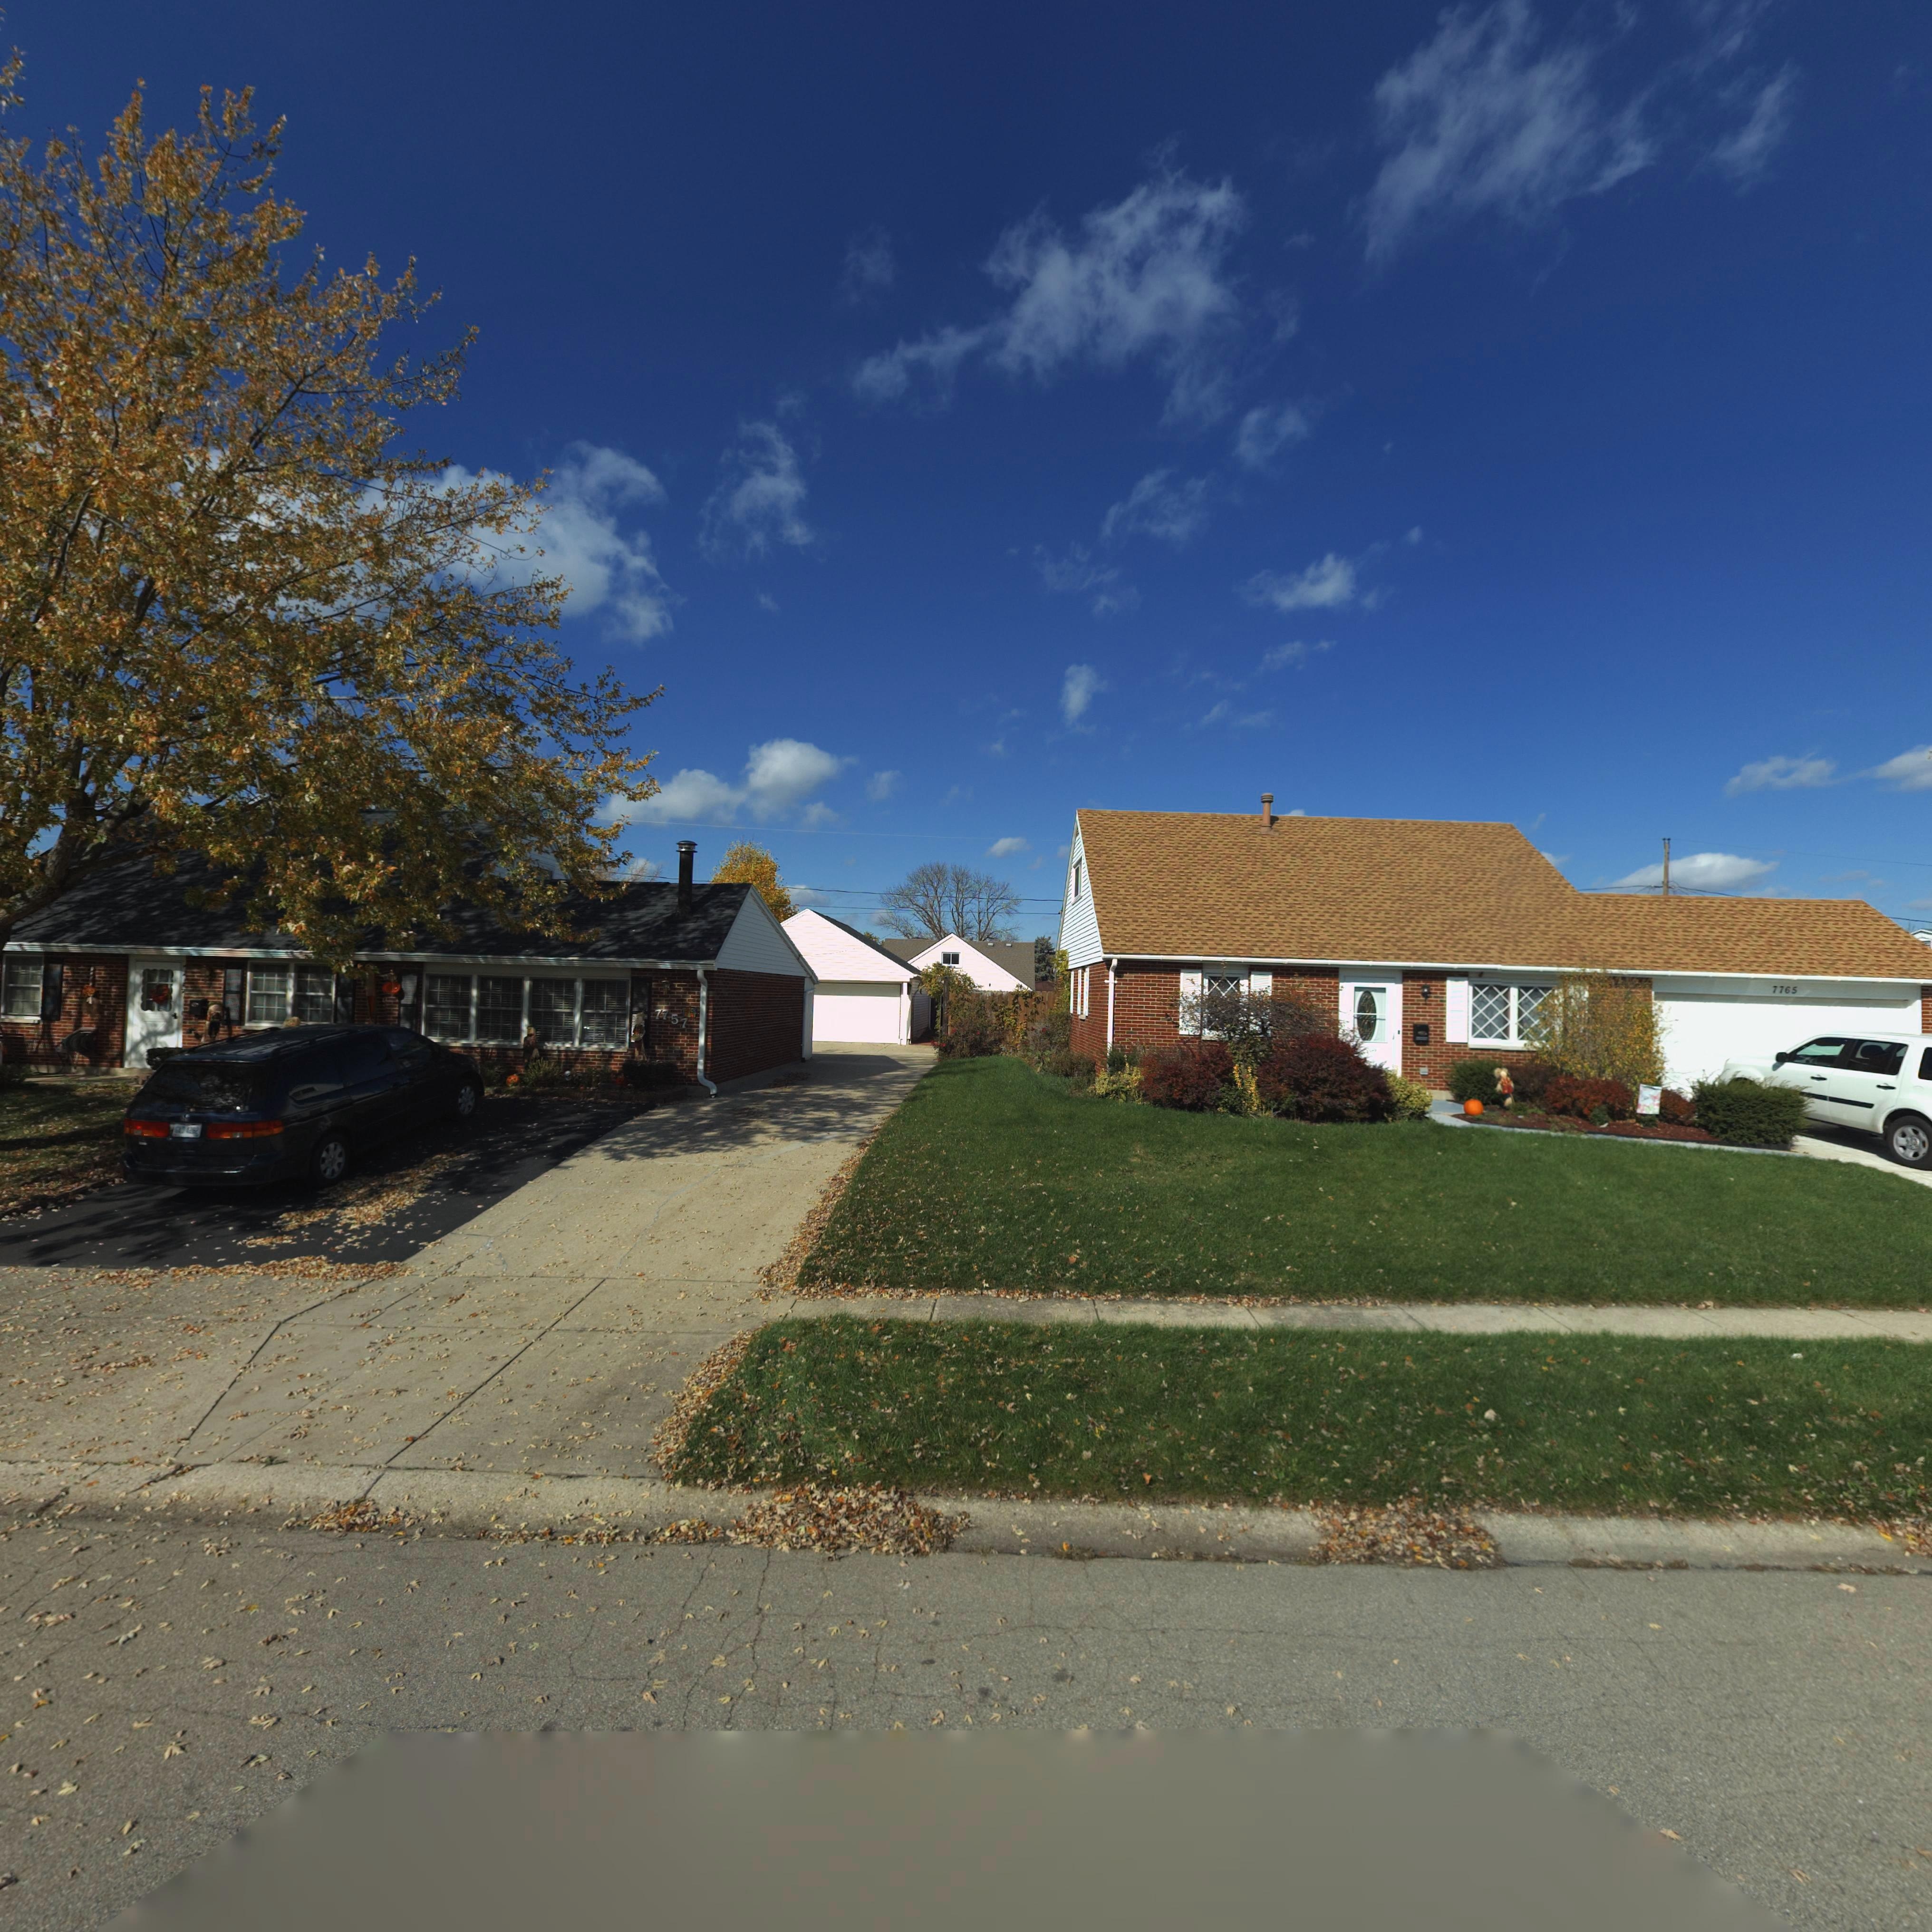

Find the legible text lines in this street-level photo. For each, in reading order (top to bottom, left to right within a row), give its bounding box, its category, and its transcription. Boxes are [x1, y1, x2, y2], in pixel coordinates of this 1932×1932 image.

[1772, 985, 1798, 994] StreetNumber: 7765